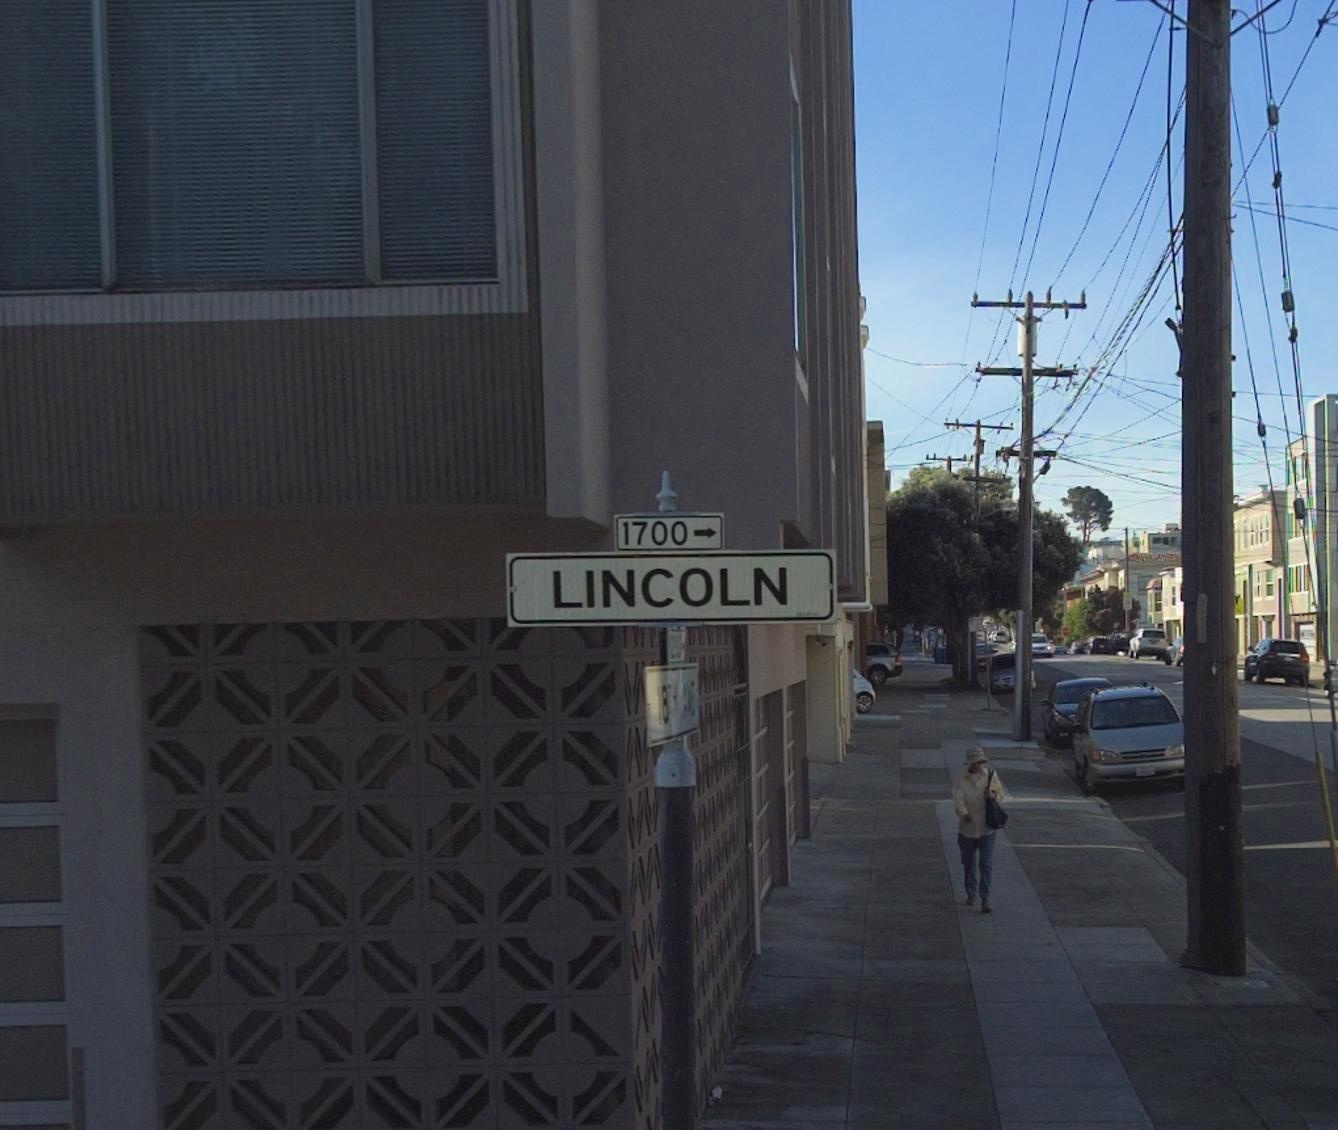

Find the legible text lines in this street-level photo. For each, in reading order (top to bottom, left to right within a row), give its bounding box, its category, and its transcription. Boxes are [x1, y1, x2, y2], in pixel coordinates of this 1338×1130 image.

[616, 515, 719, 548] StreetNumberRange: 1700->
[550, 561, 790, 612] StreetName: LINCOLN
[668, 630, 688, 666] StreetNumberRange: *200->
[652, 677, 699, 728] StreetName: 18TH AVE